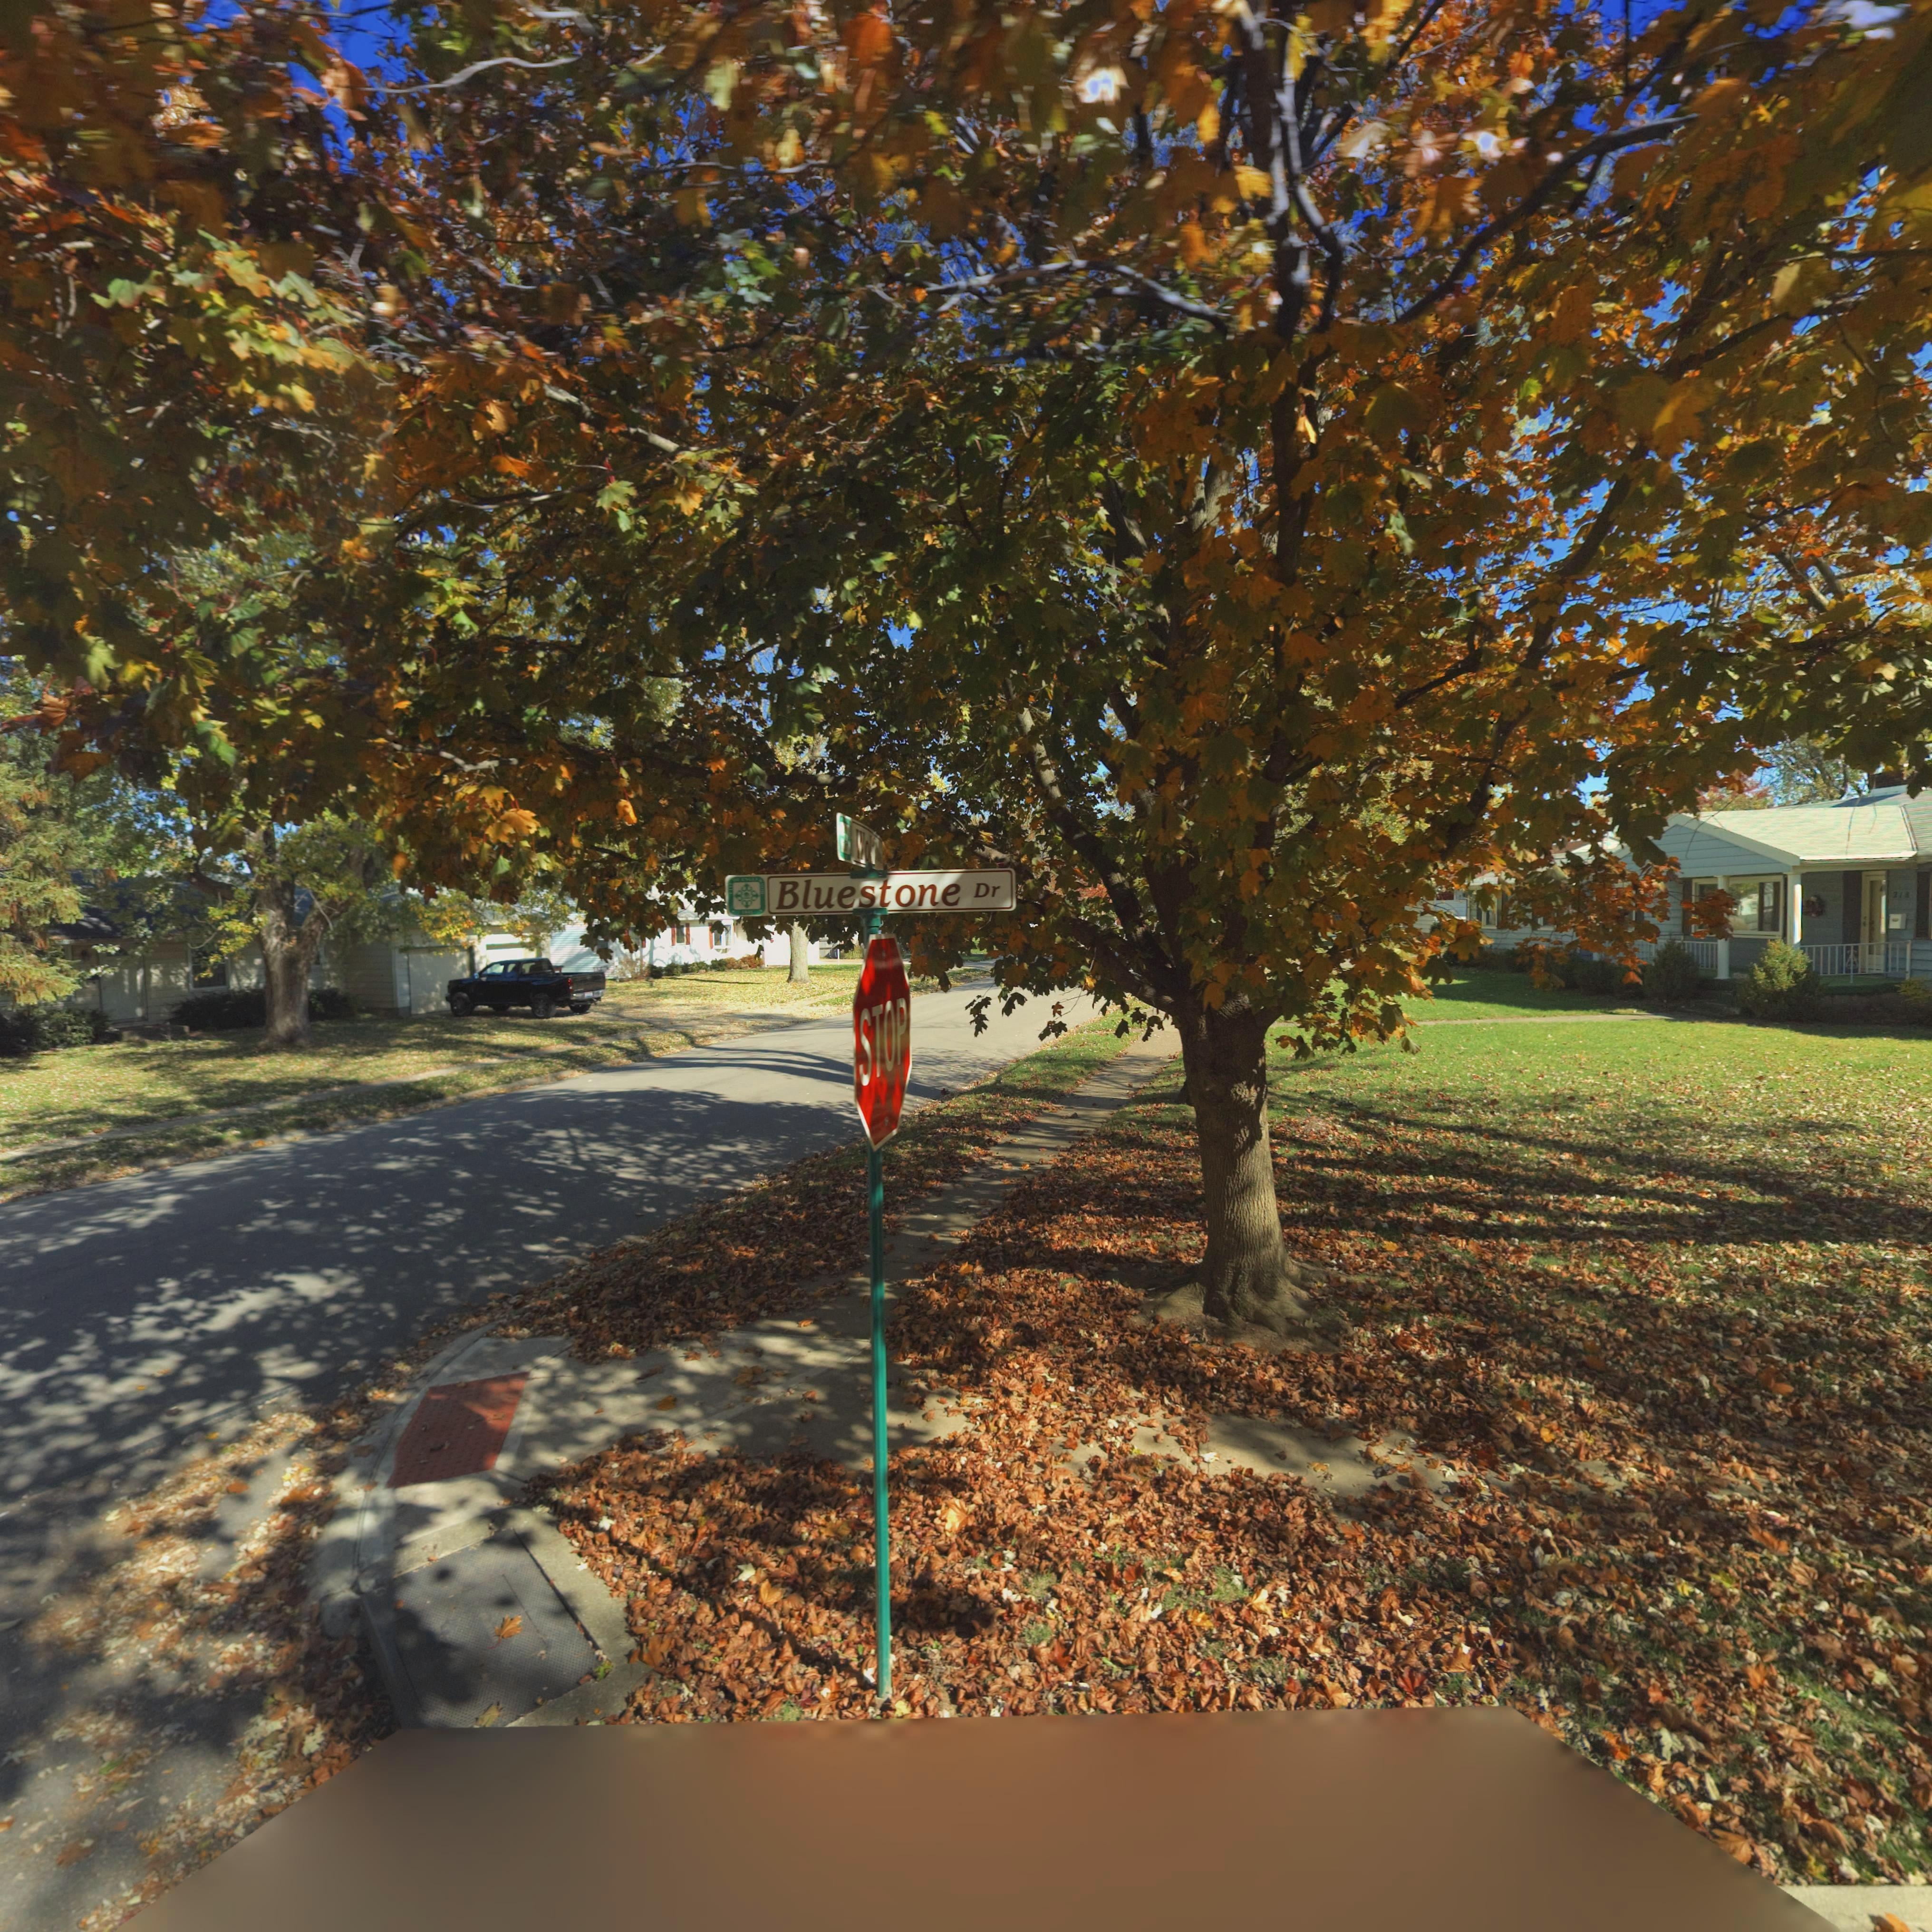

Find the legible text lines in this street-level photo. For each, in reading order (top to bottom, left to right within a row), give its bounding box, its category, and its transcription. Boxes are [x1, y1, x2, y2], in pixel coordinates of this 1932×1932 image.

[1892, 890, 1911, 899] StreetNumber: 21*